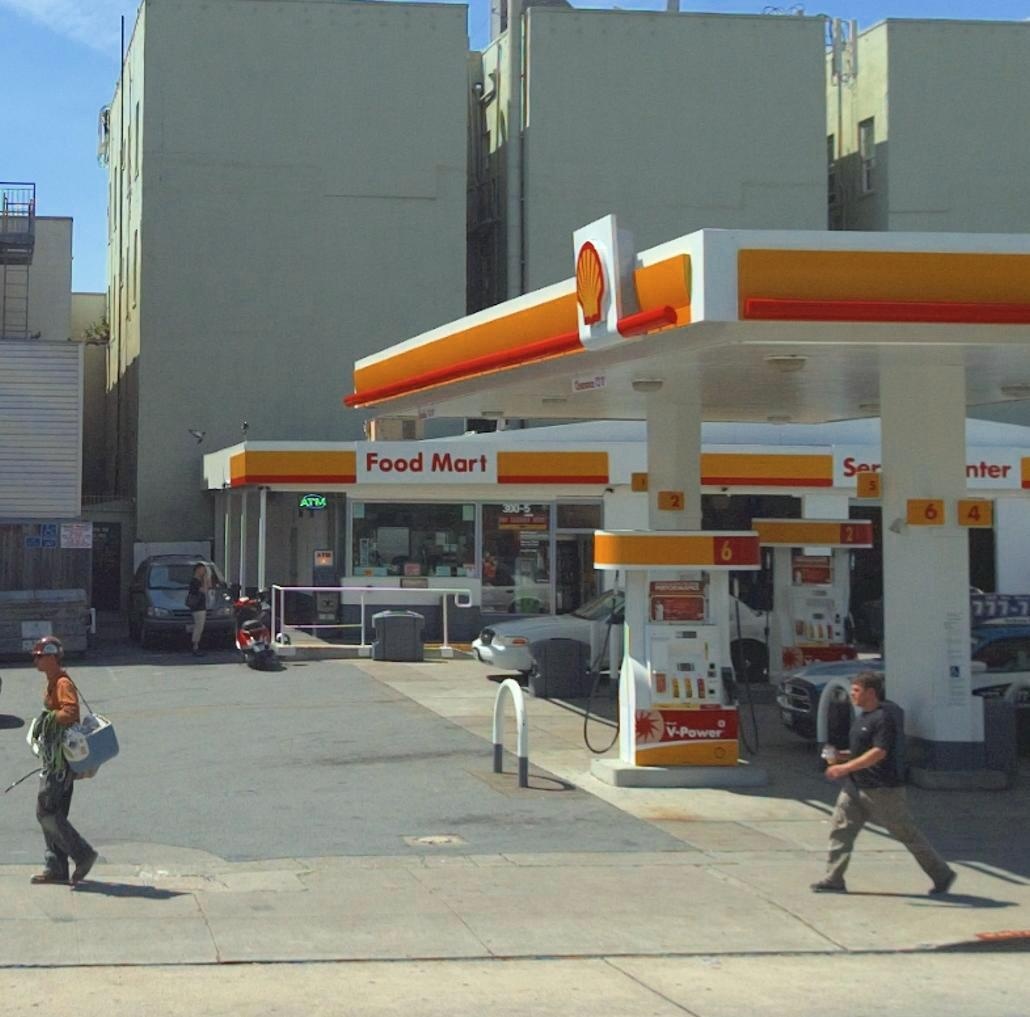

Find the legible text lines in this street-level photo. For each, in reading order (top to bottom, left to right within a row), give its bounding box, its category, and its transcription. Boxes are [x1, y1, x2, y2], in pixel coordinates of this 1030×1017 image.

[364, 451, 489, 473] BusinessName: Food Mart
[842, 456, 855, 479] None: S
[965, 459, 1016, 478] None: nter
[867, 479, 877, 490] None: 5
[299, 496, 327, 507] None: ATM
[502, 502, 531, 514] StreetNumber: 300-5
[668, 494, 680, 508] None: 2
[922, 501, 938, 520] None: 6
[966, 504, 982, 522] None: 4
[843, 526, 855, 542] None: 2
[717, 539, 734, 561] None: 6
[970, 599, 1029, 617] None: 777-7
[664, 725, 725, 739] None: V-Power